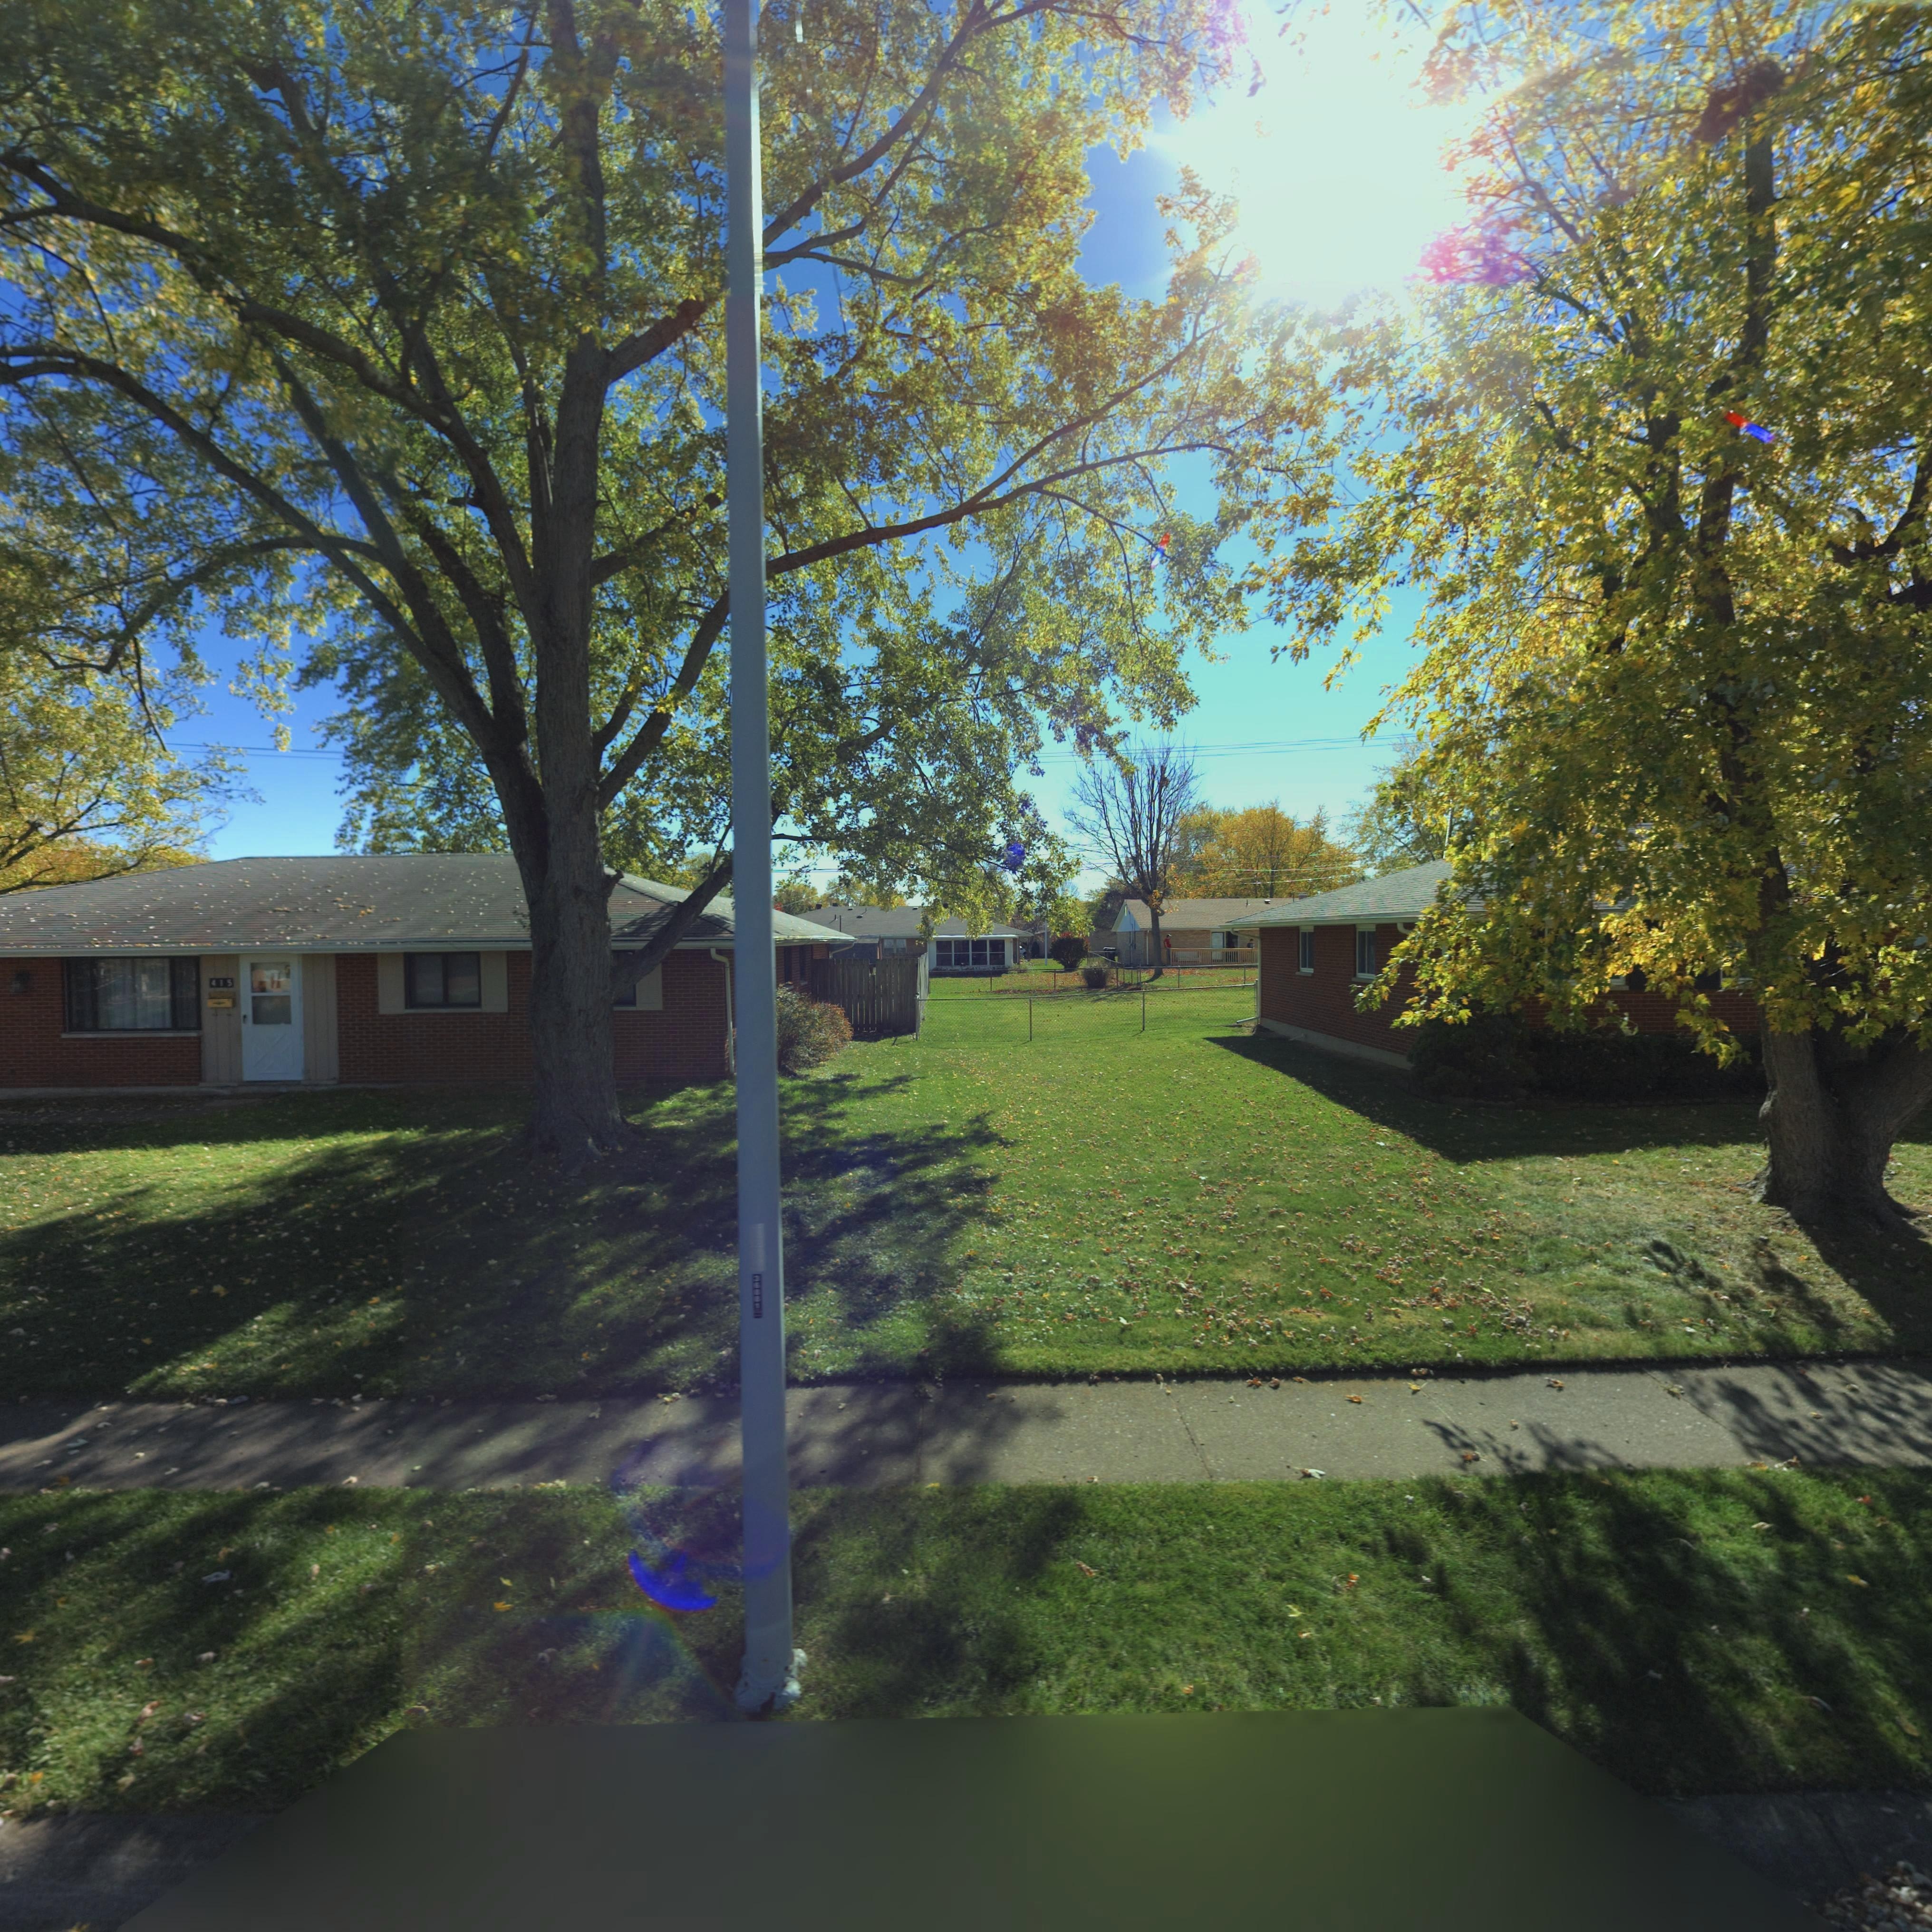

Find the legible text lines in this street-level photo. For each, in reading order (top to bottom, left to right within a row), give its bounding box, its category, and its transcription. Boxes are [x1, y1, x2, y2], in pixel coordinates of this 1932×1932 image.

[210, 978, 233, 988] StreetNumber: 415